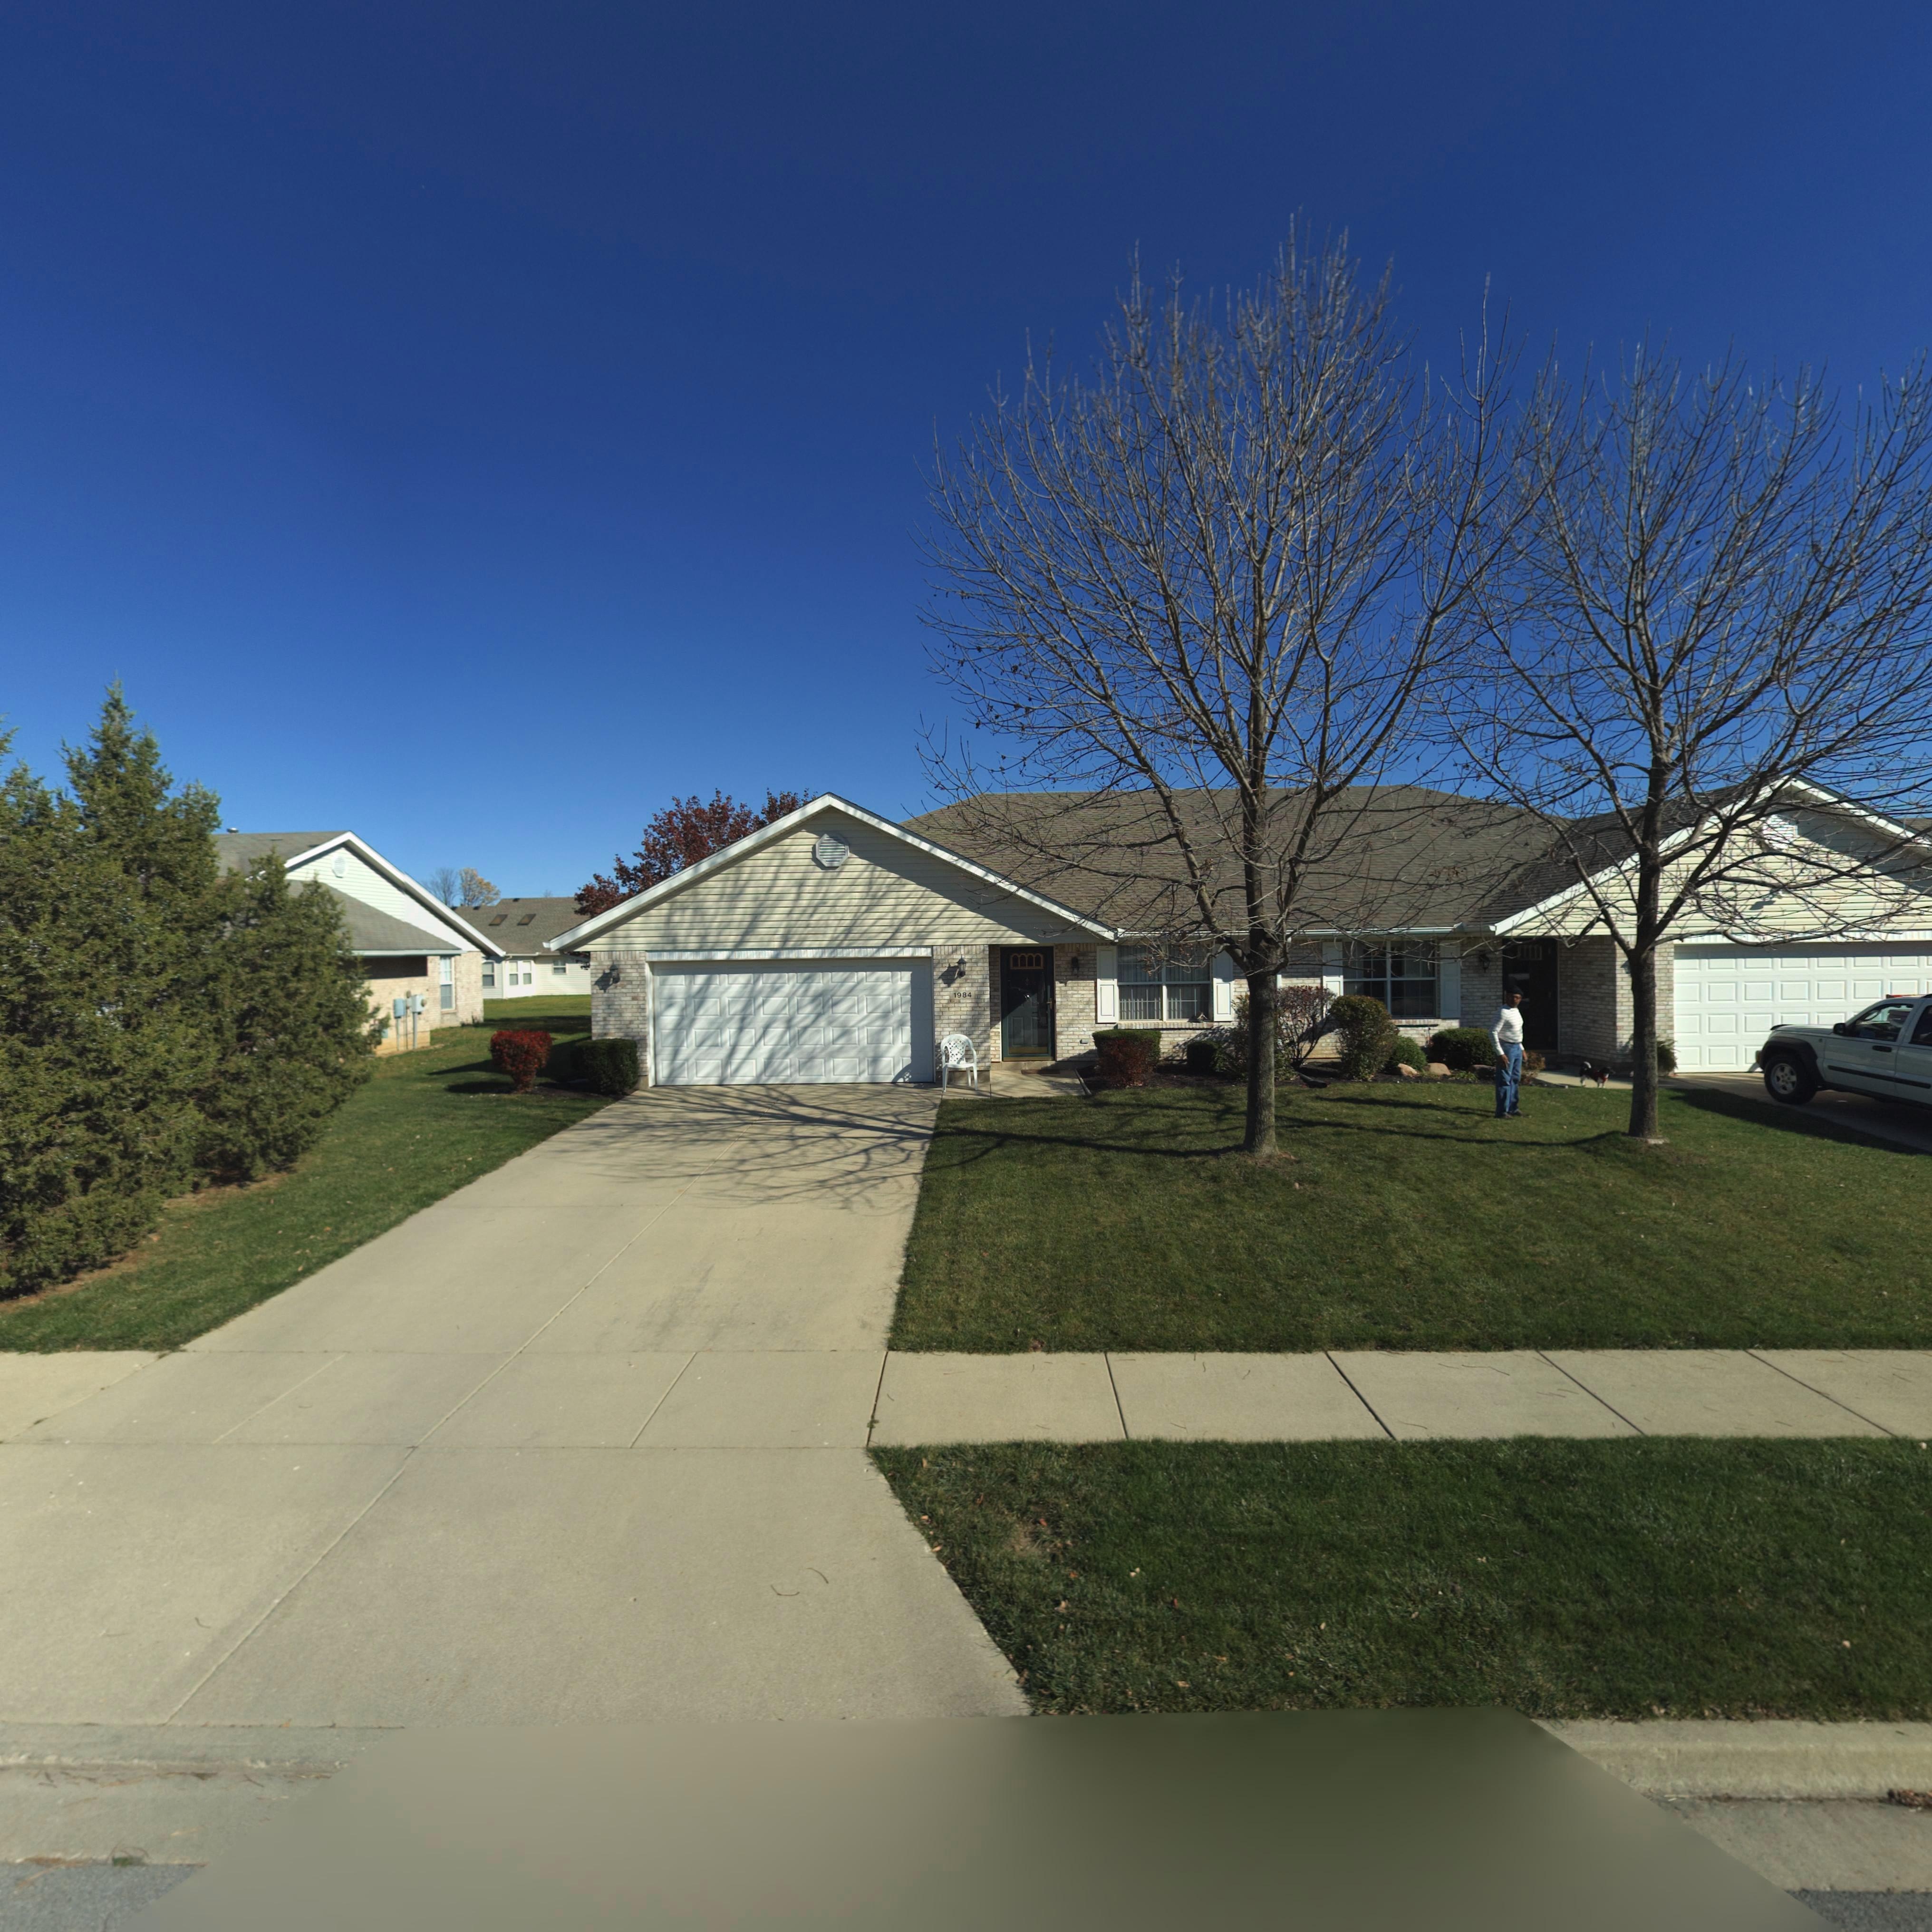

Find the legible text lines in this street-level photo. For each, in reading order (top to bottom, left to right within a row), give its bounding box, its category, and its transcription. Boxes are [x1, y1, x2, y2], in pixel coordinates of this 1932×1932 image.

[953, 991, 972, 999] StreetNumber: 1984